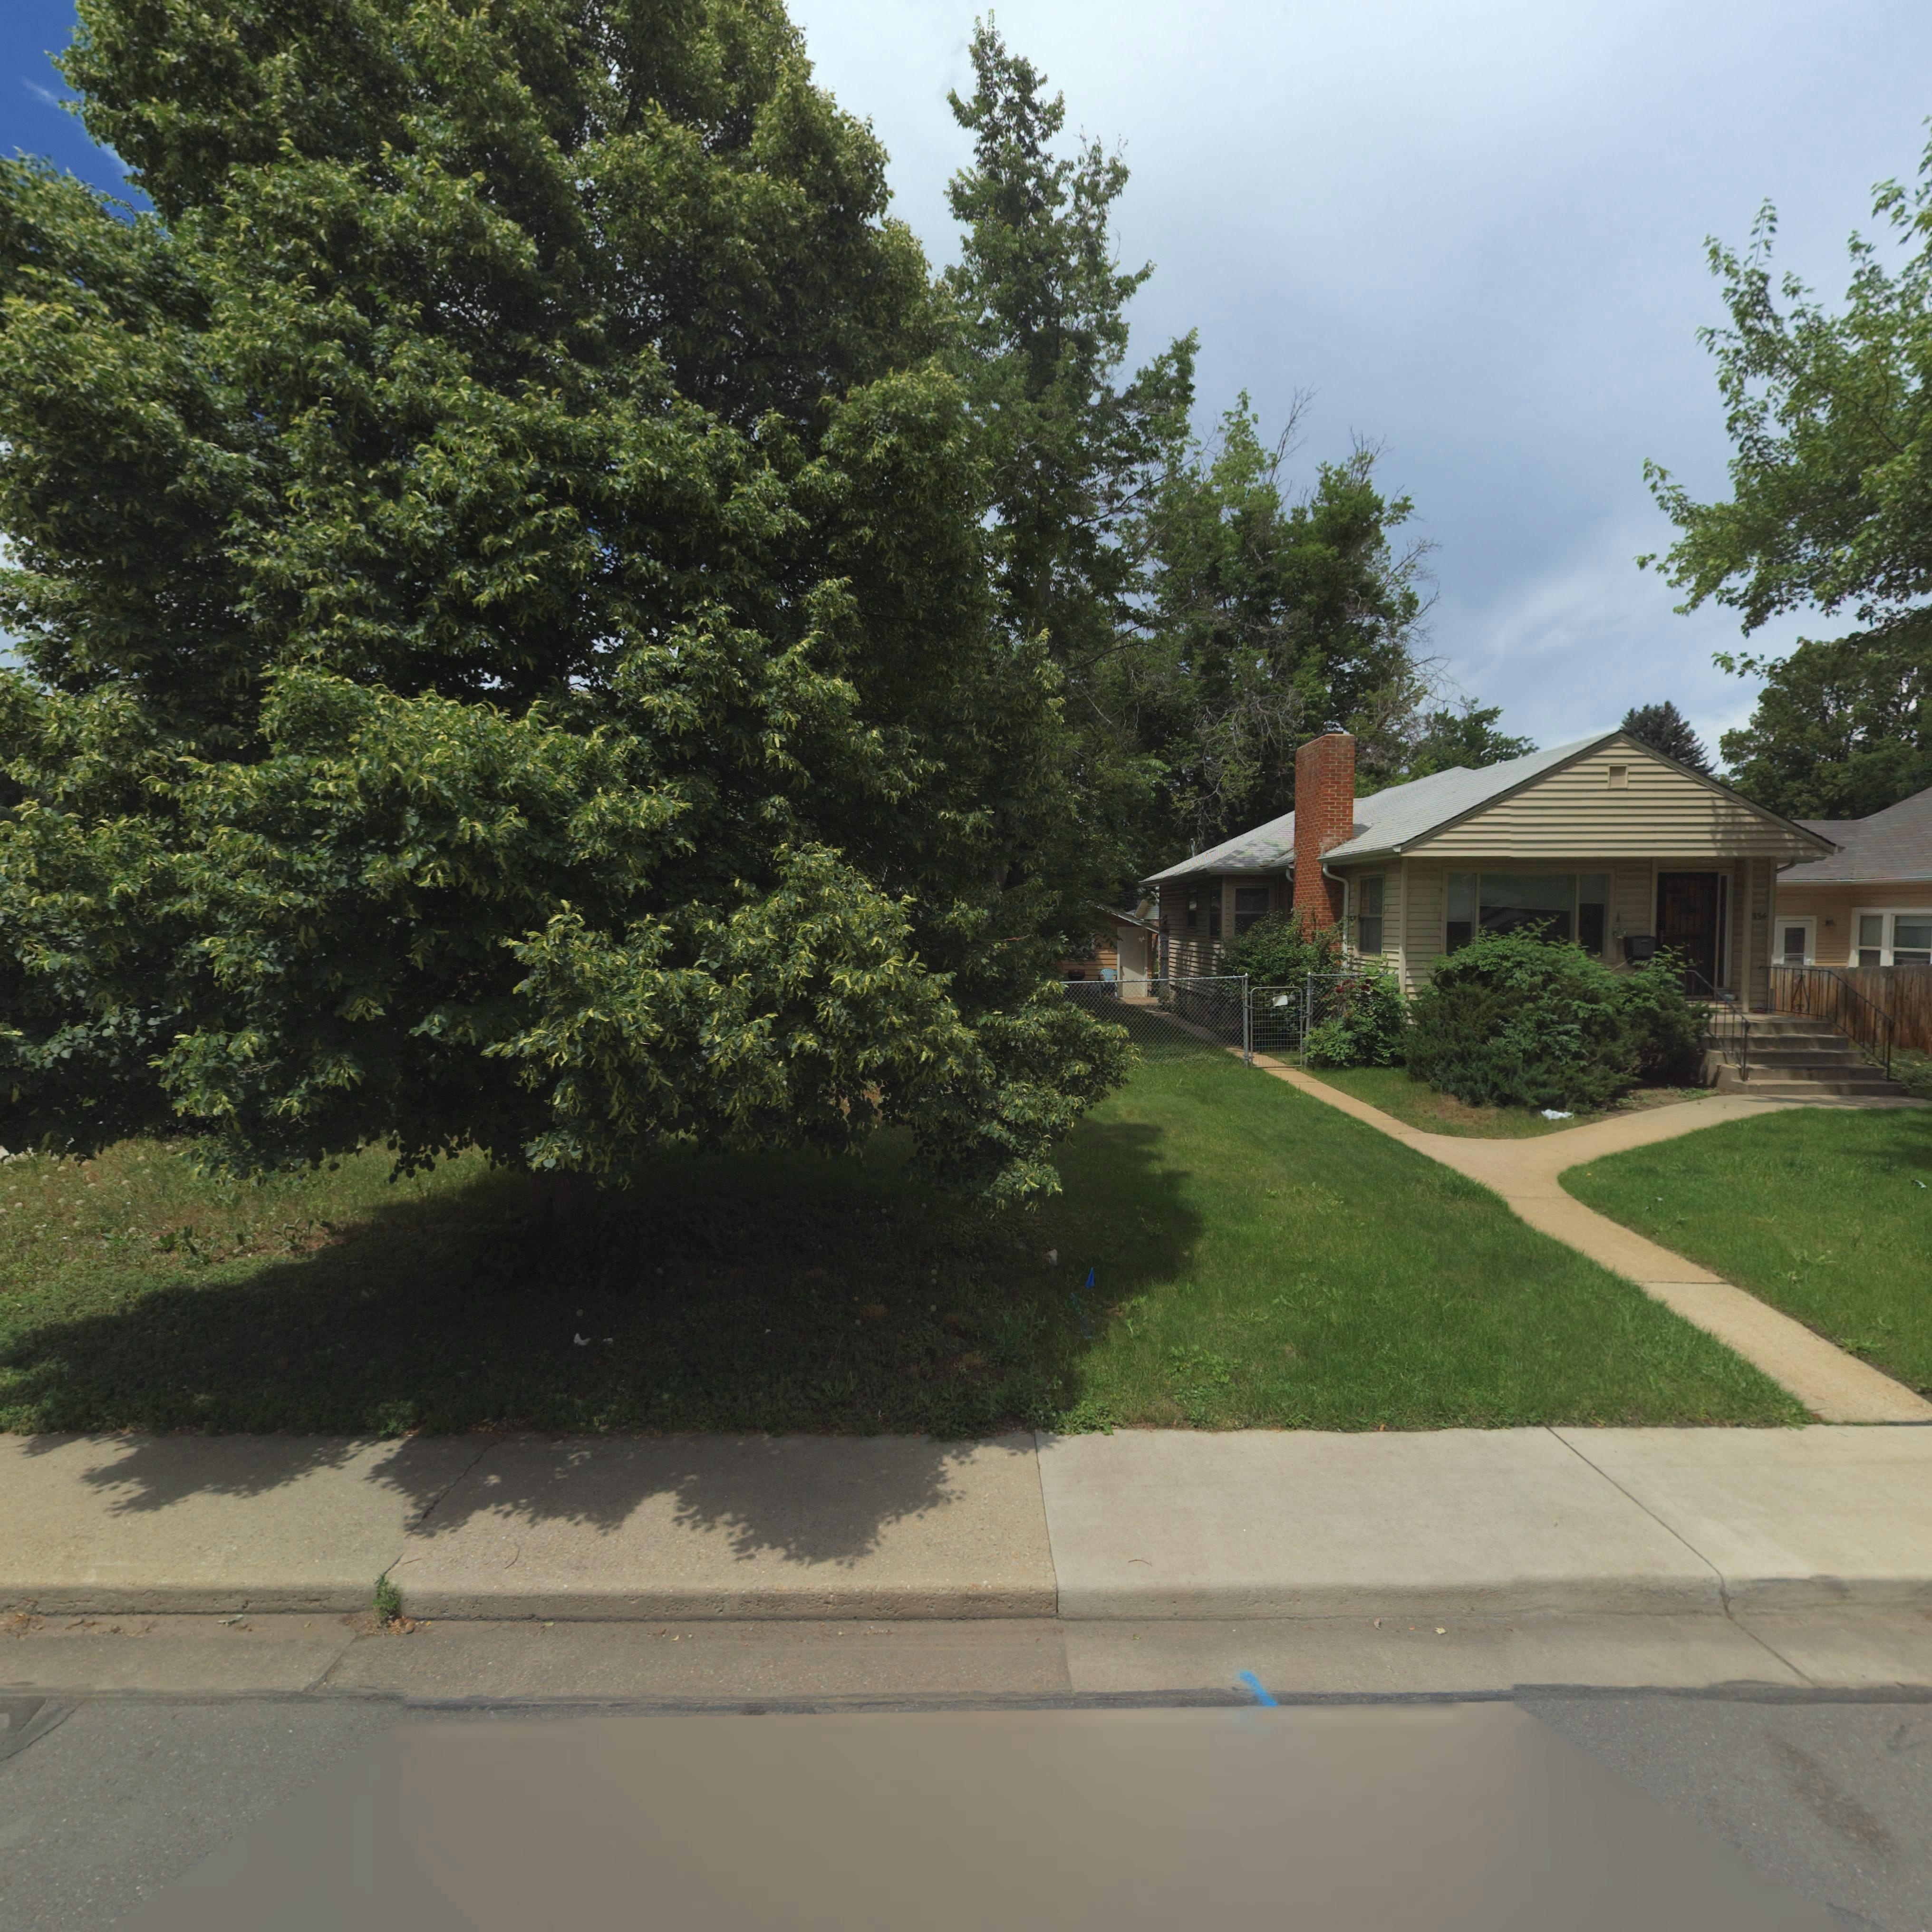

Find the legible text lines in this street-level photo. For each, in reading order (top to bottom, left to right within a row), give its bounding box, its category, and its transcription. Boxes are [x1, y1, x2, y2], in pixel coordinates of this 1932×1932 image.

[1752, 912, 1767, 920] StreetNumber: 354